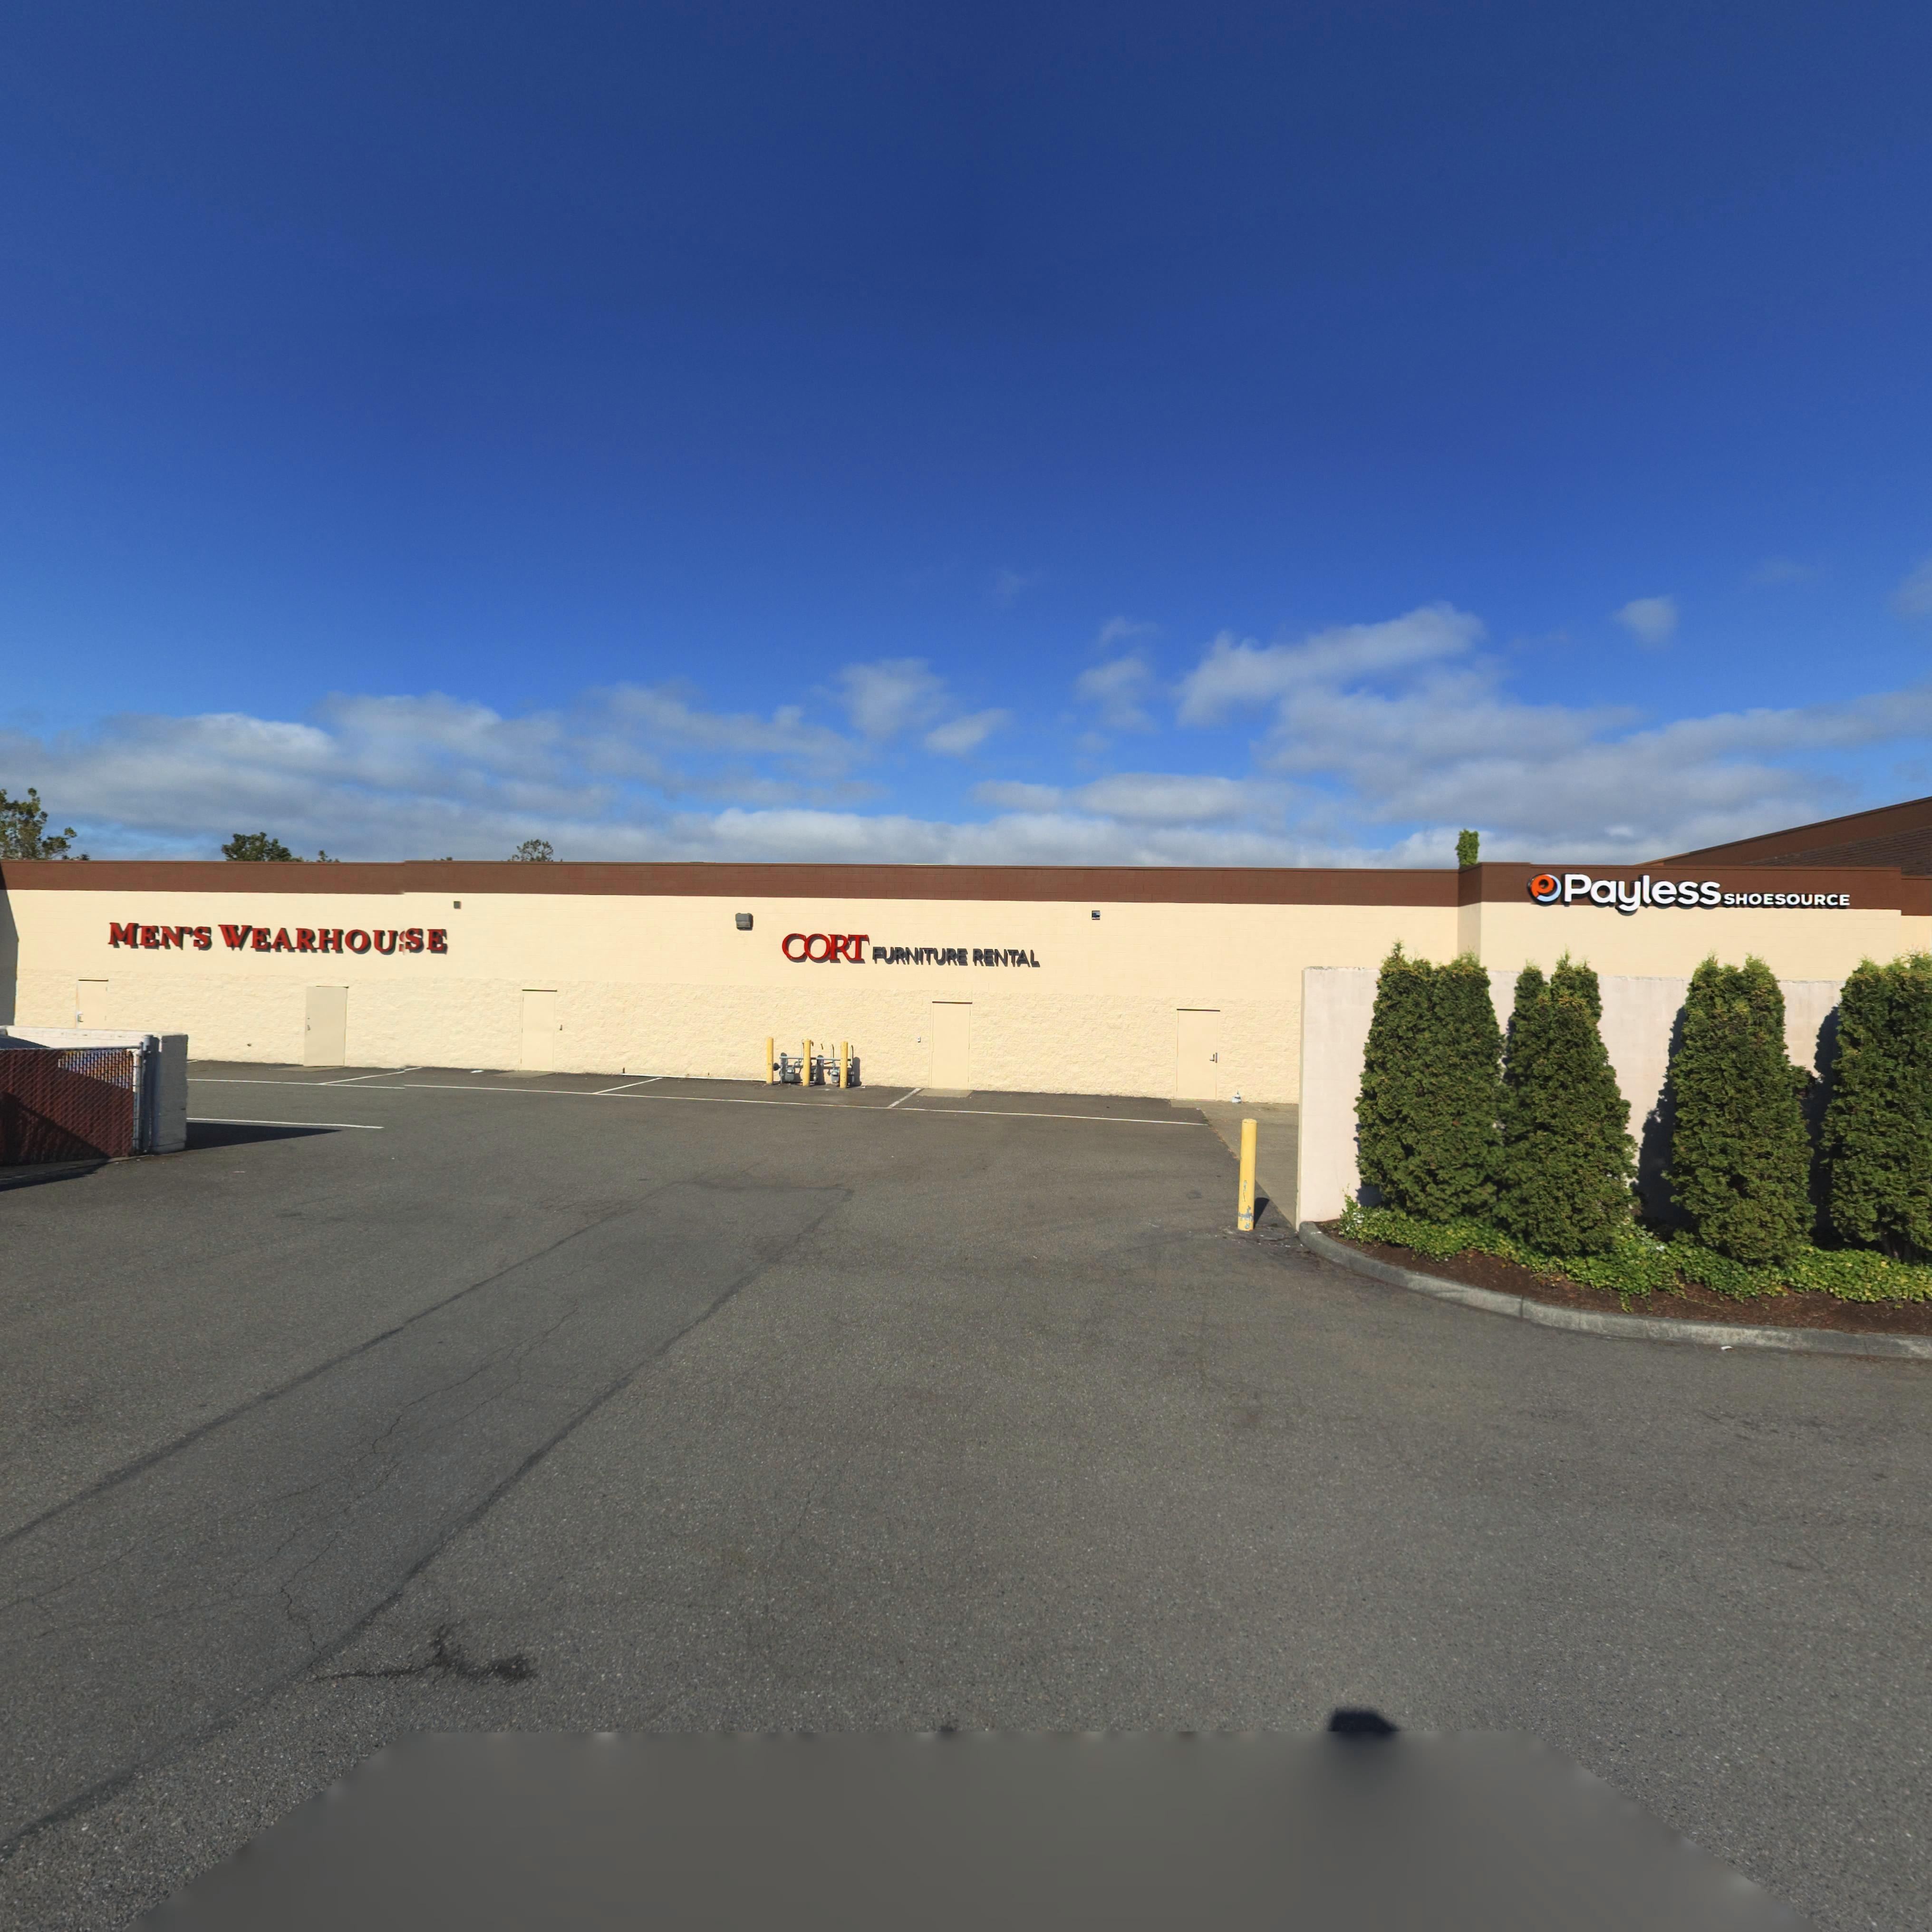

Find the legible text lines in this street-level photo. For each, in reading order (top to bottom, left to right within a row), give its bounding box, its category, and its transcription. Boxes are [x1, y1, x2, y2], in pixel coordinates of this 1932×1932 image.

[1561, 873, 1723, 914] BusinessName: Payless
[1723, 893, 1851, 906] BusinessName: SHOESOURCE
[106, 921, 446, 955] BusinessName: MEN's WAREHOUSE
[779, 931, 870, 964] BusinessName: CORT
[871, 944, 1040, 965] BusinessName: FURNITURE RENTAL